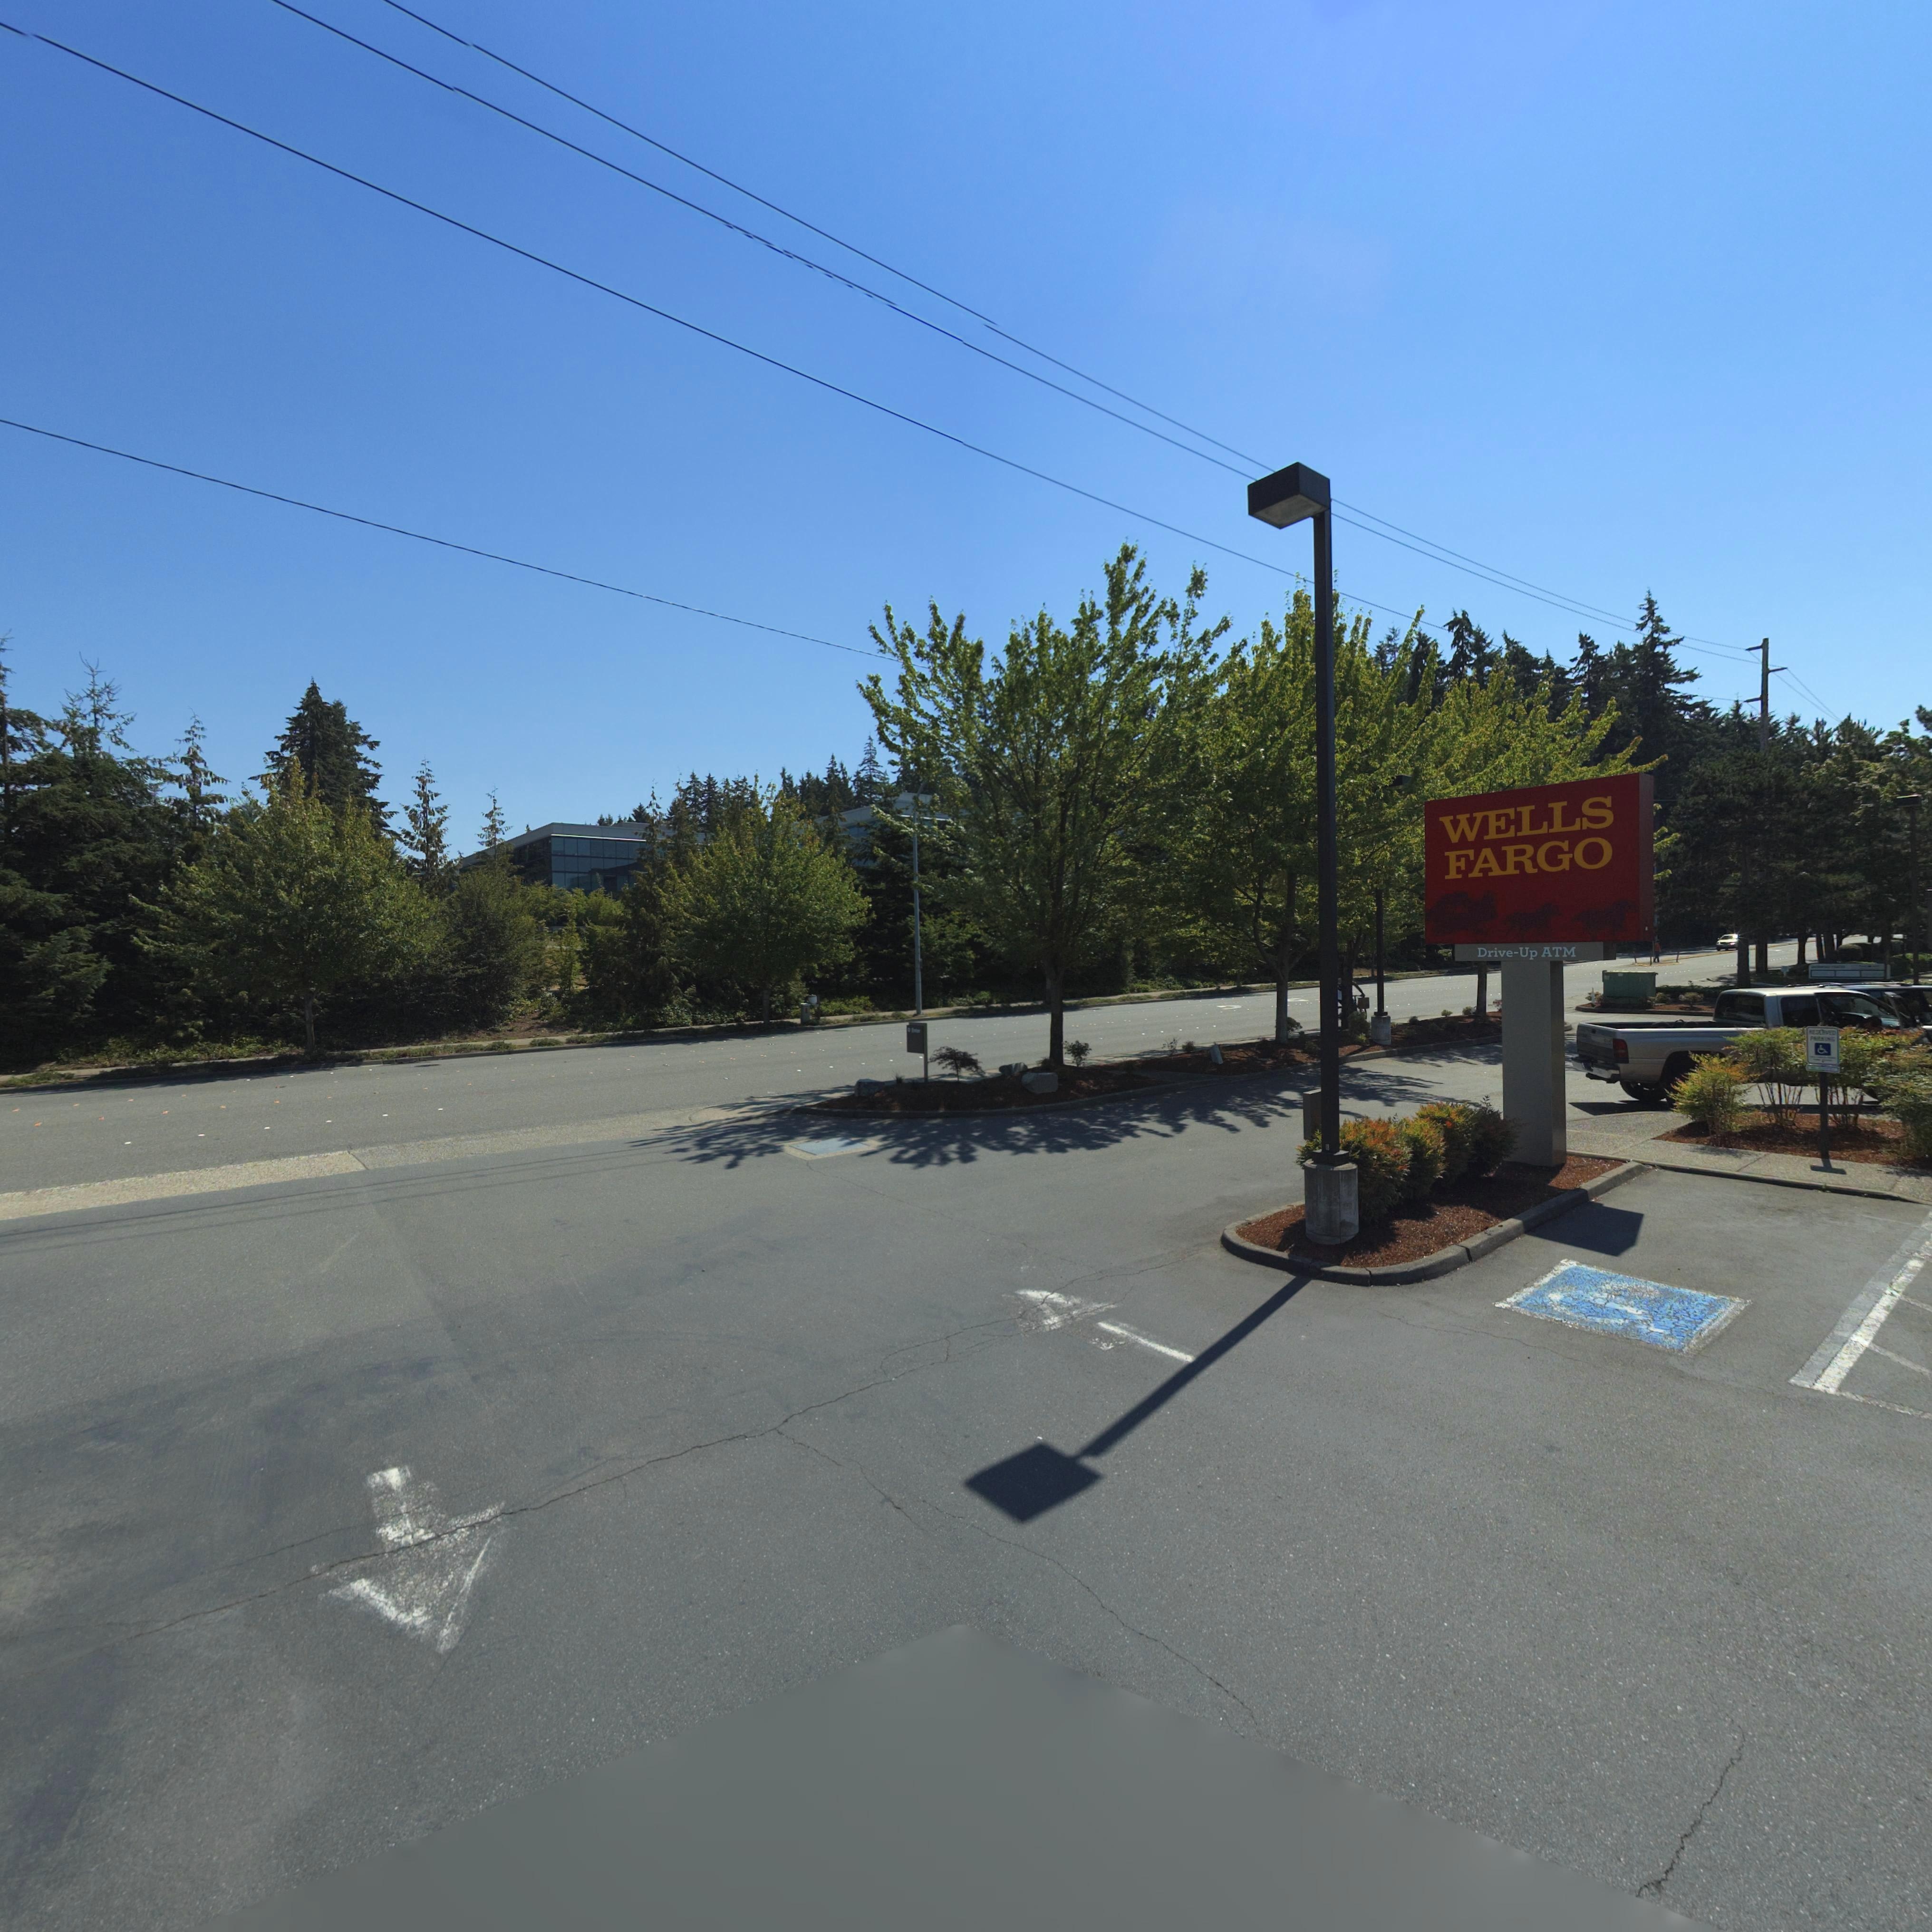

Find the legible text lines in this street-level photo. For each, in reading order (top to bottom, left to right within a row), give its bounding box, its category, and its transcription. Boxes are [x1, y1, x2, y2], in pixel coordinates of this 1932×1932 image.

[1436, 795, 1614, 844] BusinessName: WELLS
[1443, 836, 1613, 879] BusinessName: FARGO